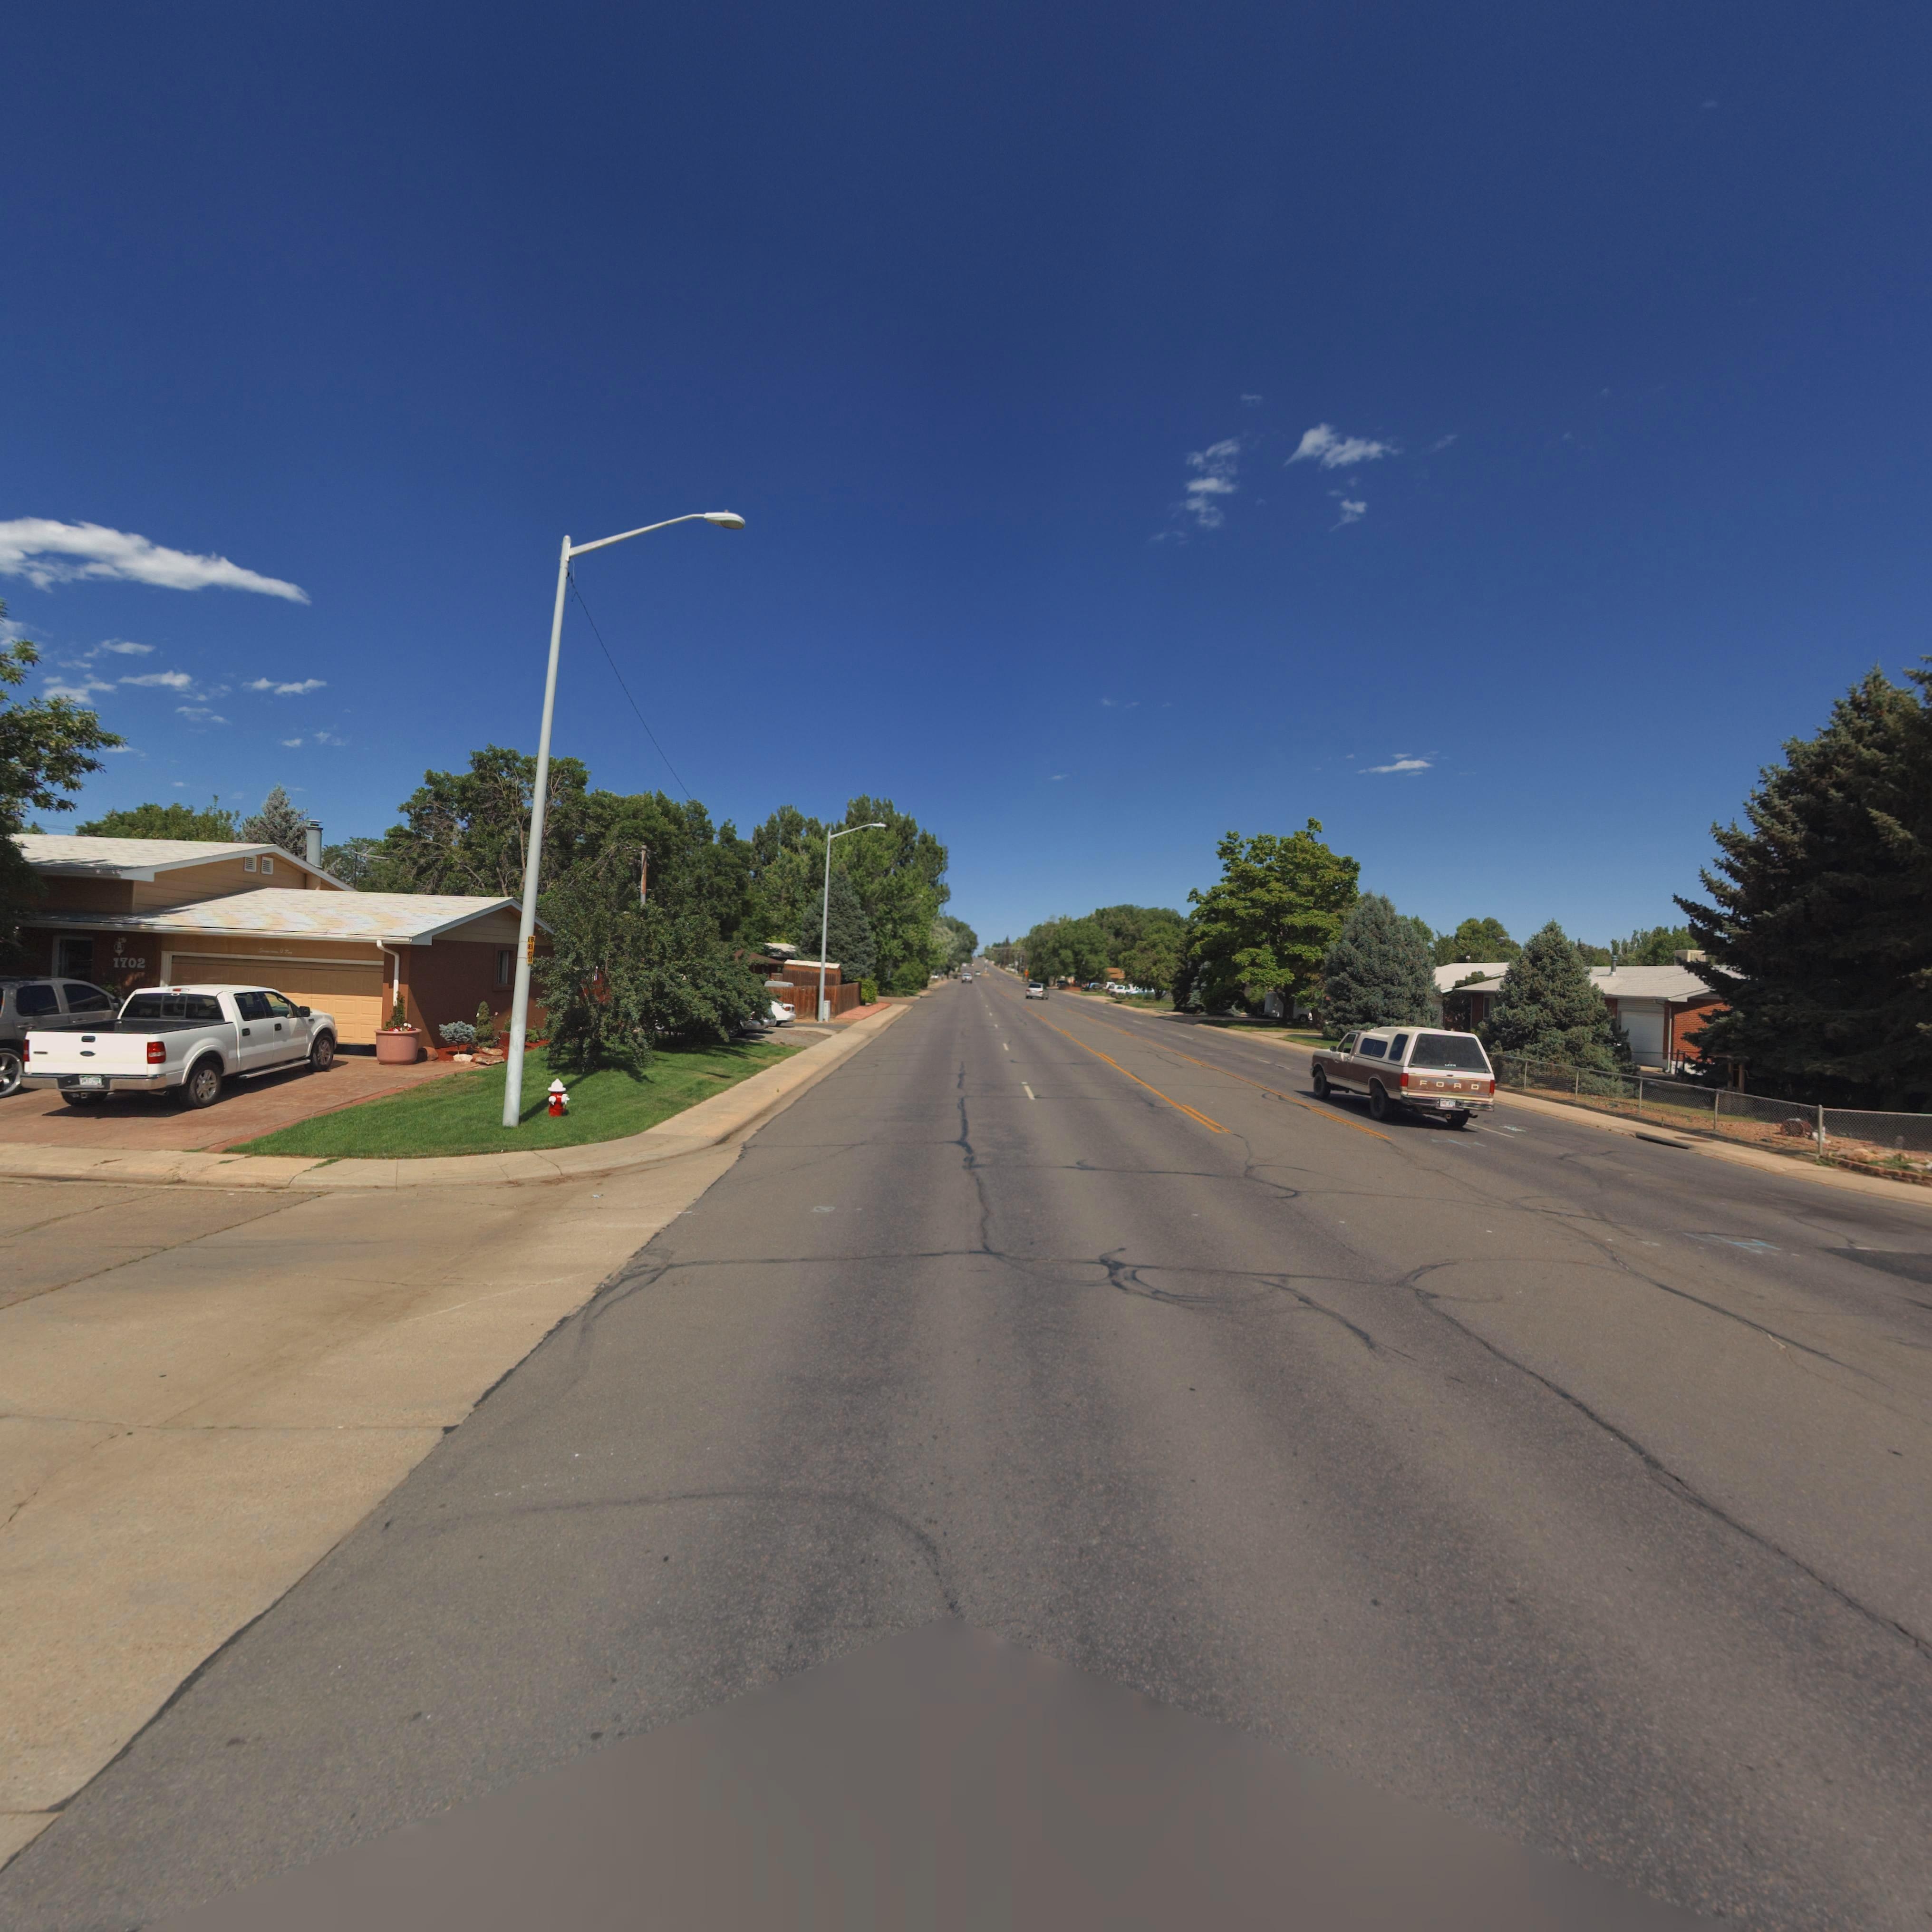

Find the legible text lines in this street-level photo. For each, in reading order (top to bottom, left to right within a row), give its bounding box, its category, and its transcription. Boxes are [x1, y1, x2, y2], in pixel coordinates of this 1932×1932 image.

[112, 957, 145, 968] StreetNumber: 1702